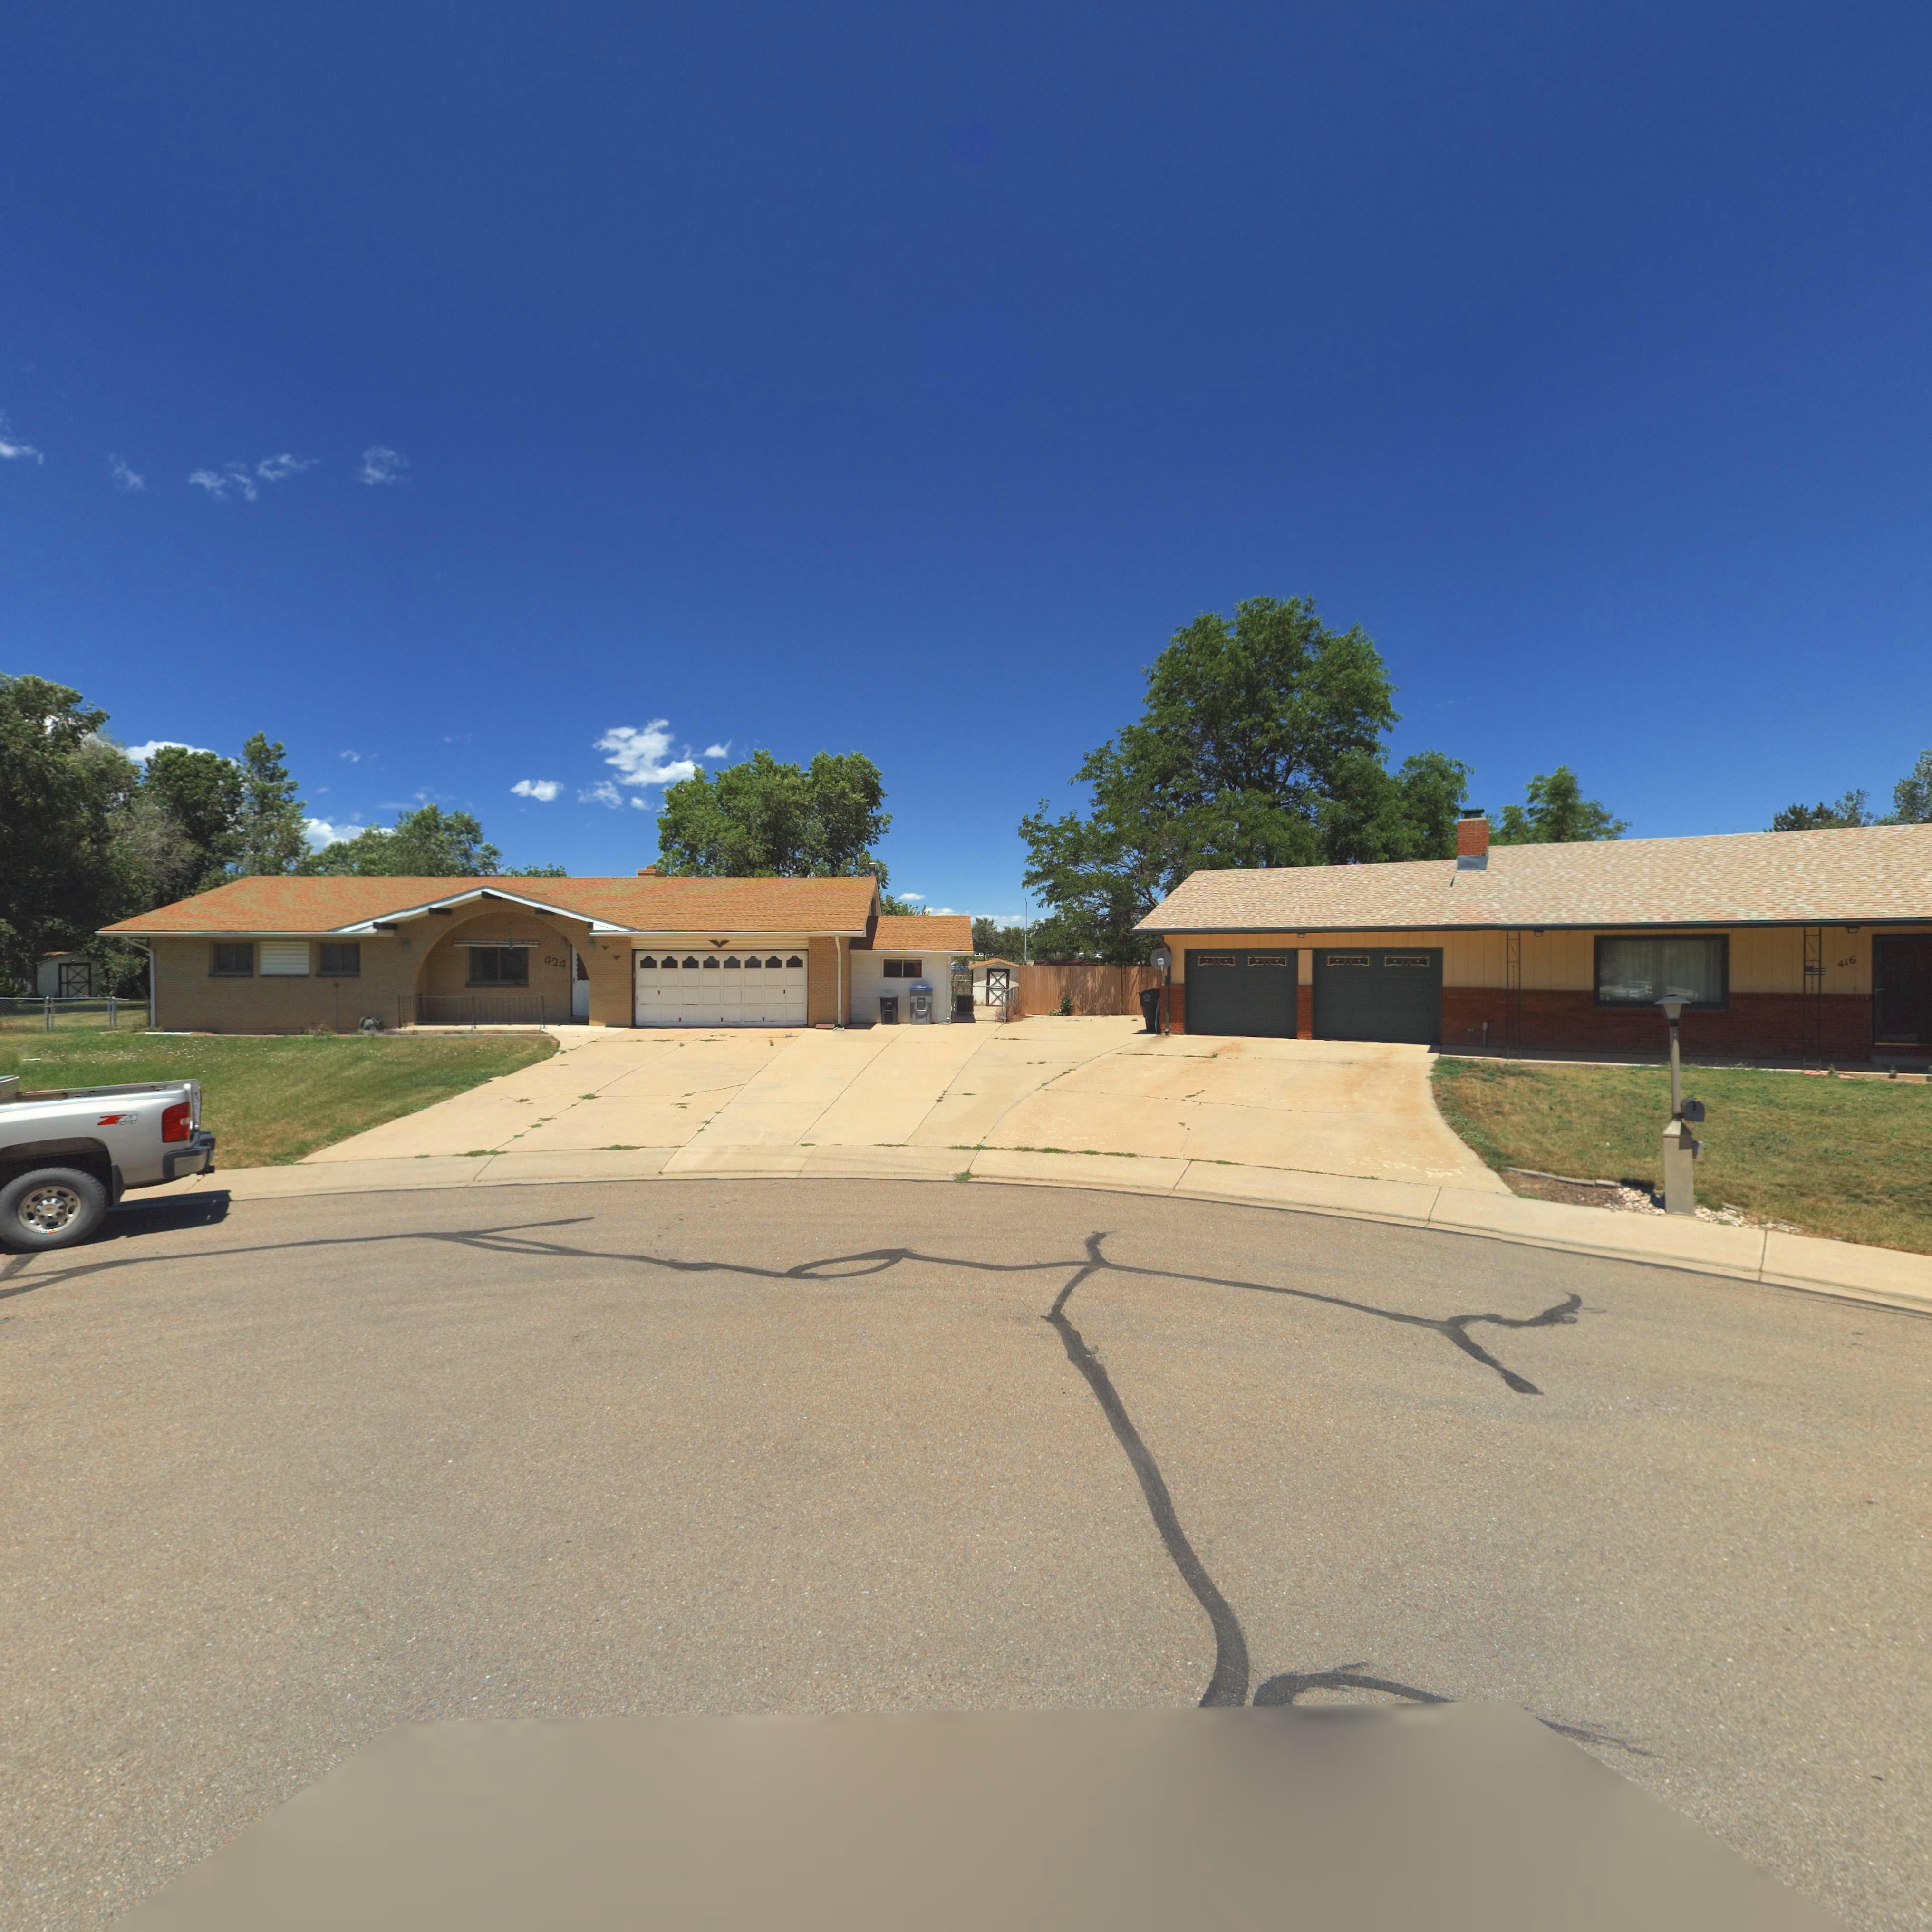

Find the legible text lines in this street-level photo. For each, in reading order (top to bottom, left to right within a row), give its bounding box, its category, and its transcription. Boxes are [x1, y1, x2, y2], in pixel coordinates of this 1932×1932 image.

[543, 955, 567, 970] StreetNumber: 424
[1836, 955, 1856, 968] StreetNumber: 416